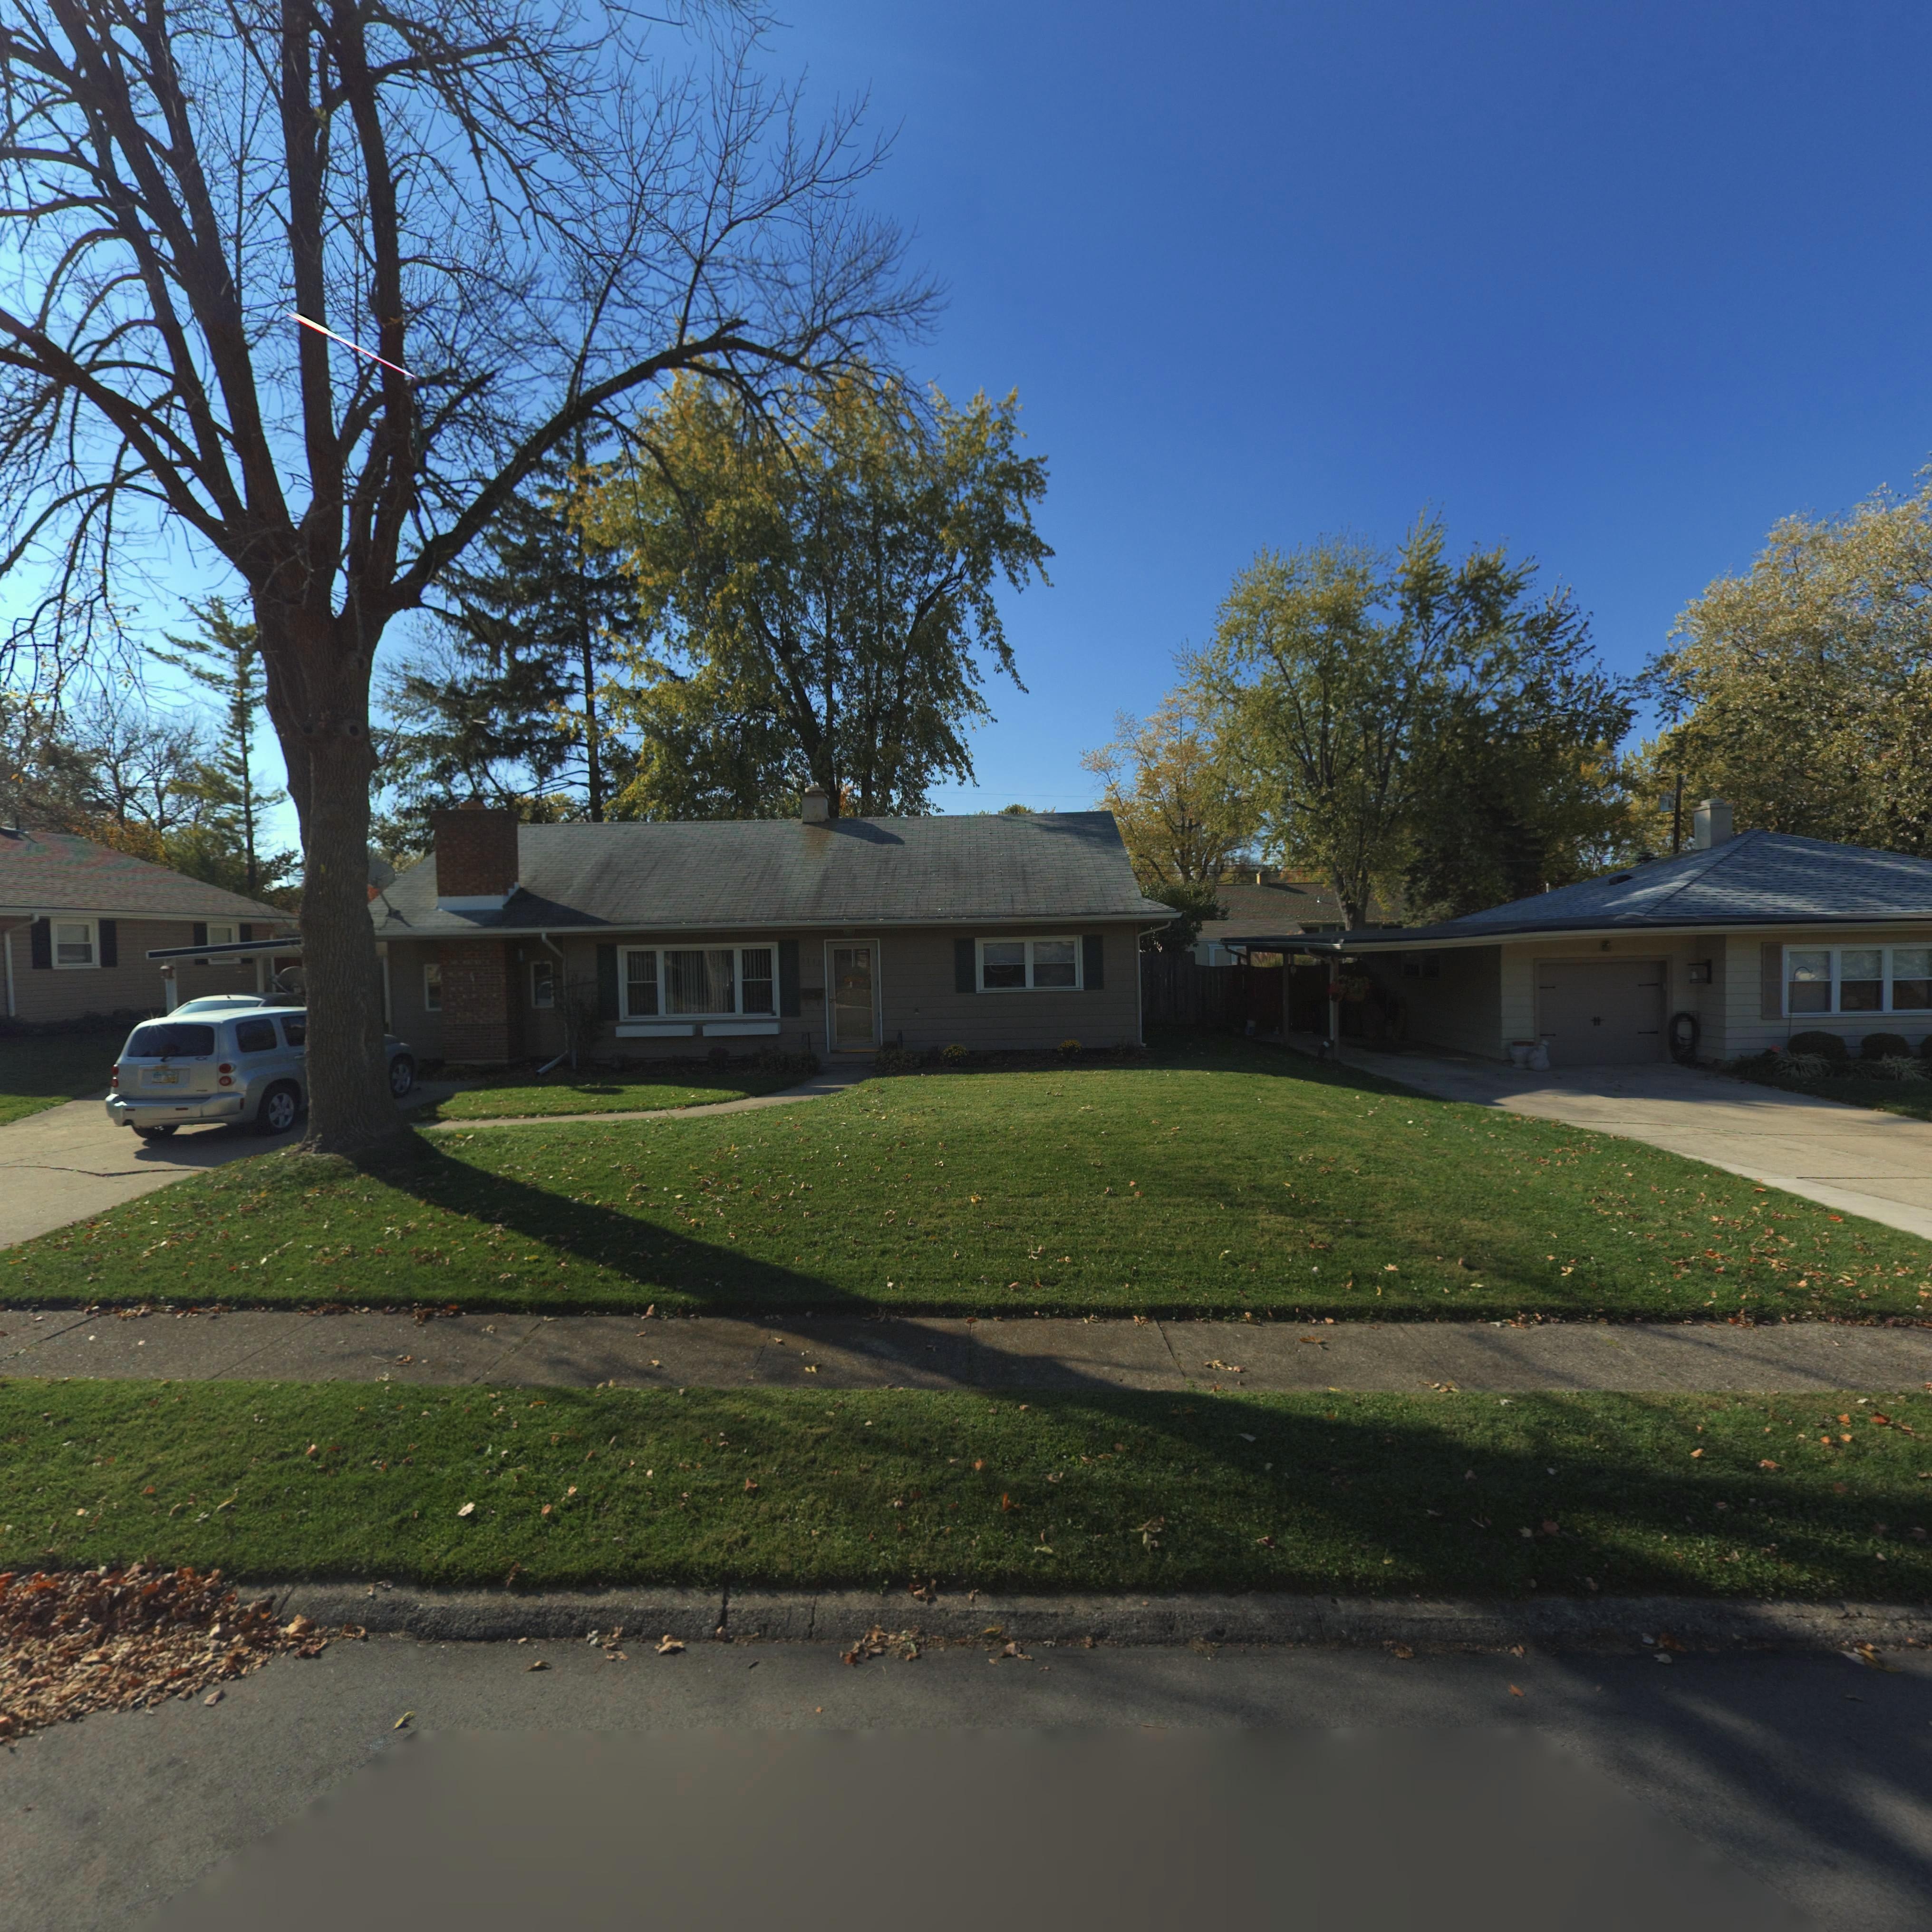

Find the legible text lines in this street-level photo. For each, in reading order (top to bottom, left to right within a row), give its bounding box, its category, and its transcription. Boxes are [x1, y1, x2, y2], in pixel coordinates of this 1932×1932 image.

[800, 956, 821, 968] StreetNumber: 3711
[152, 1074, 176, 1081] None: FEE*2676